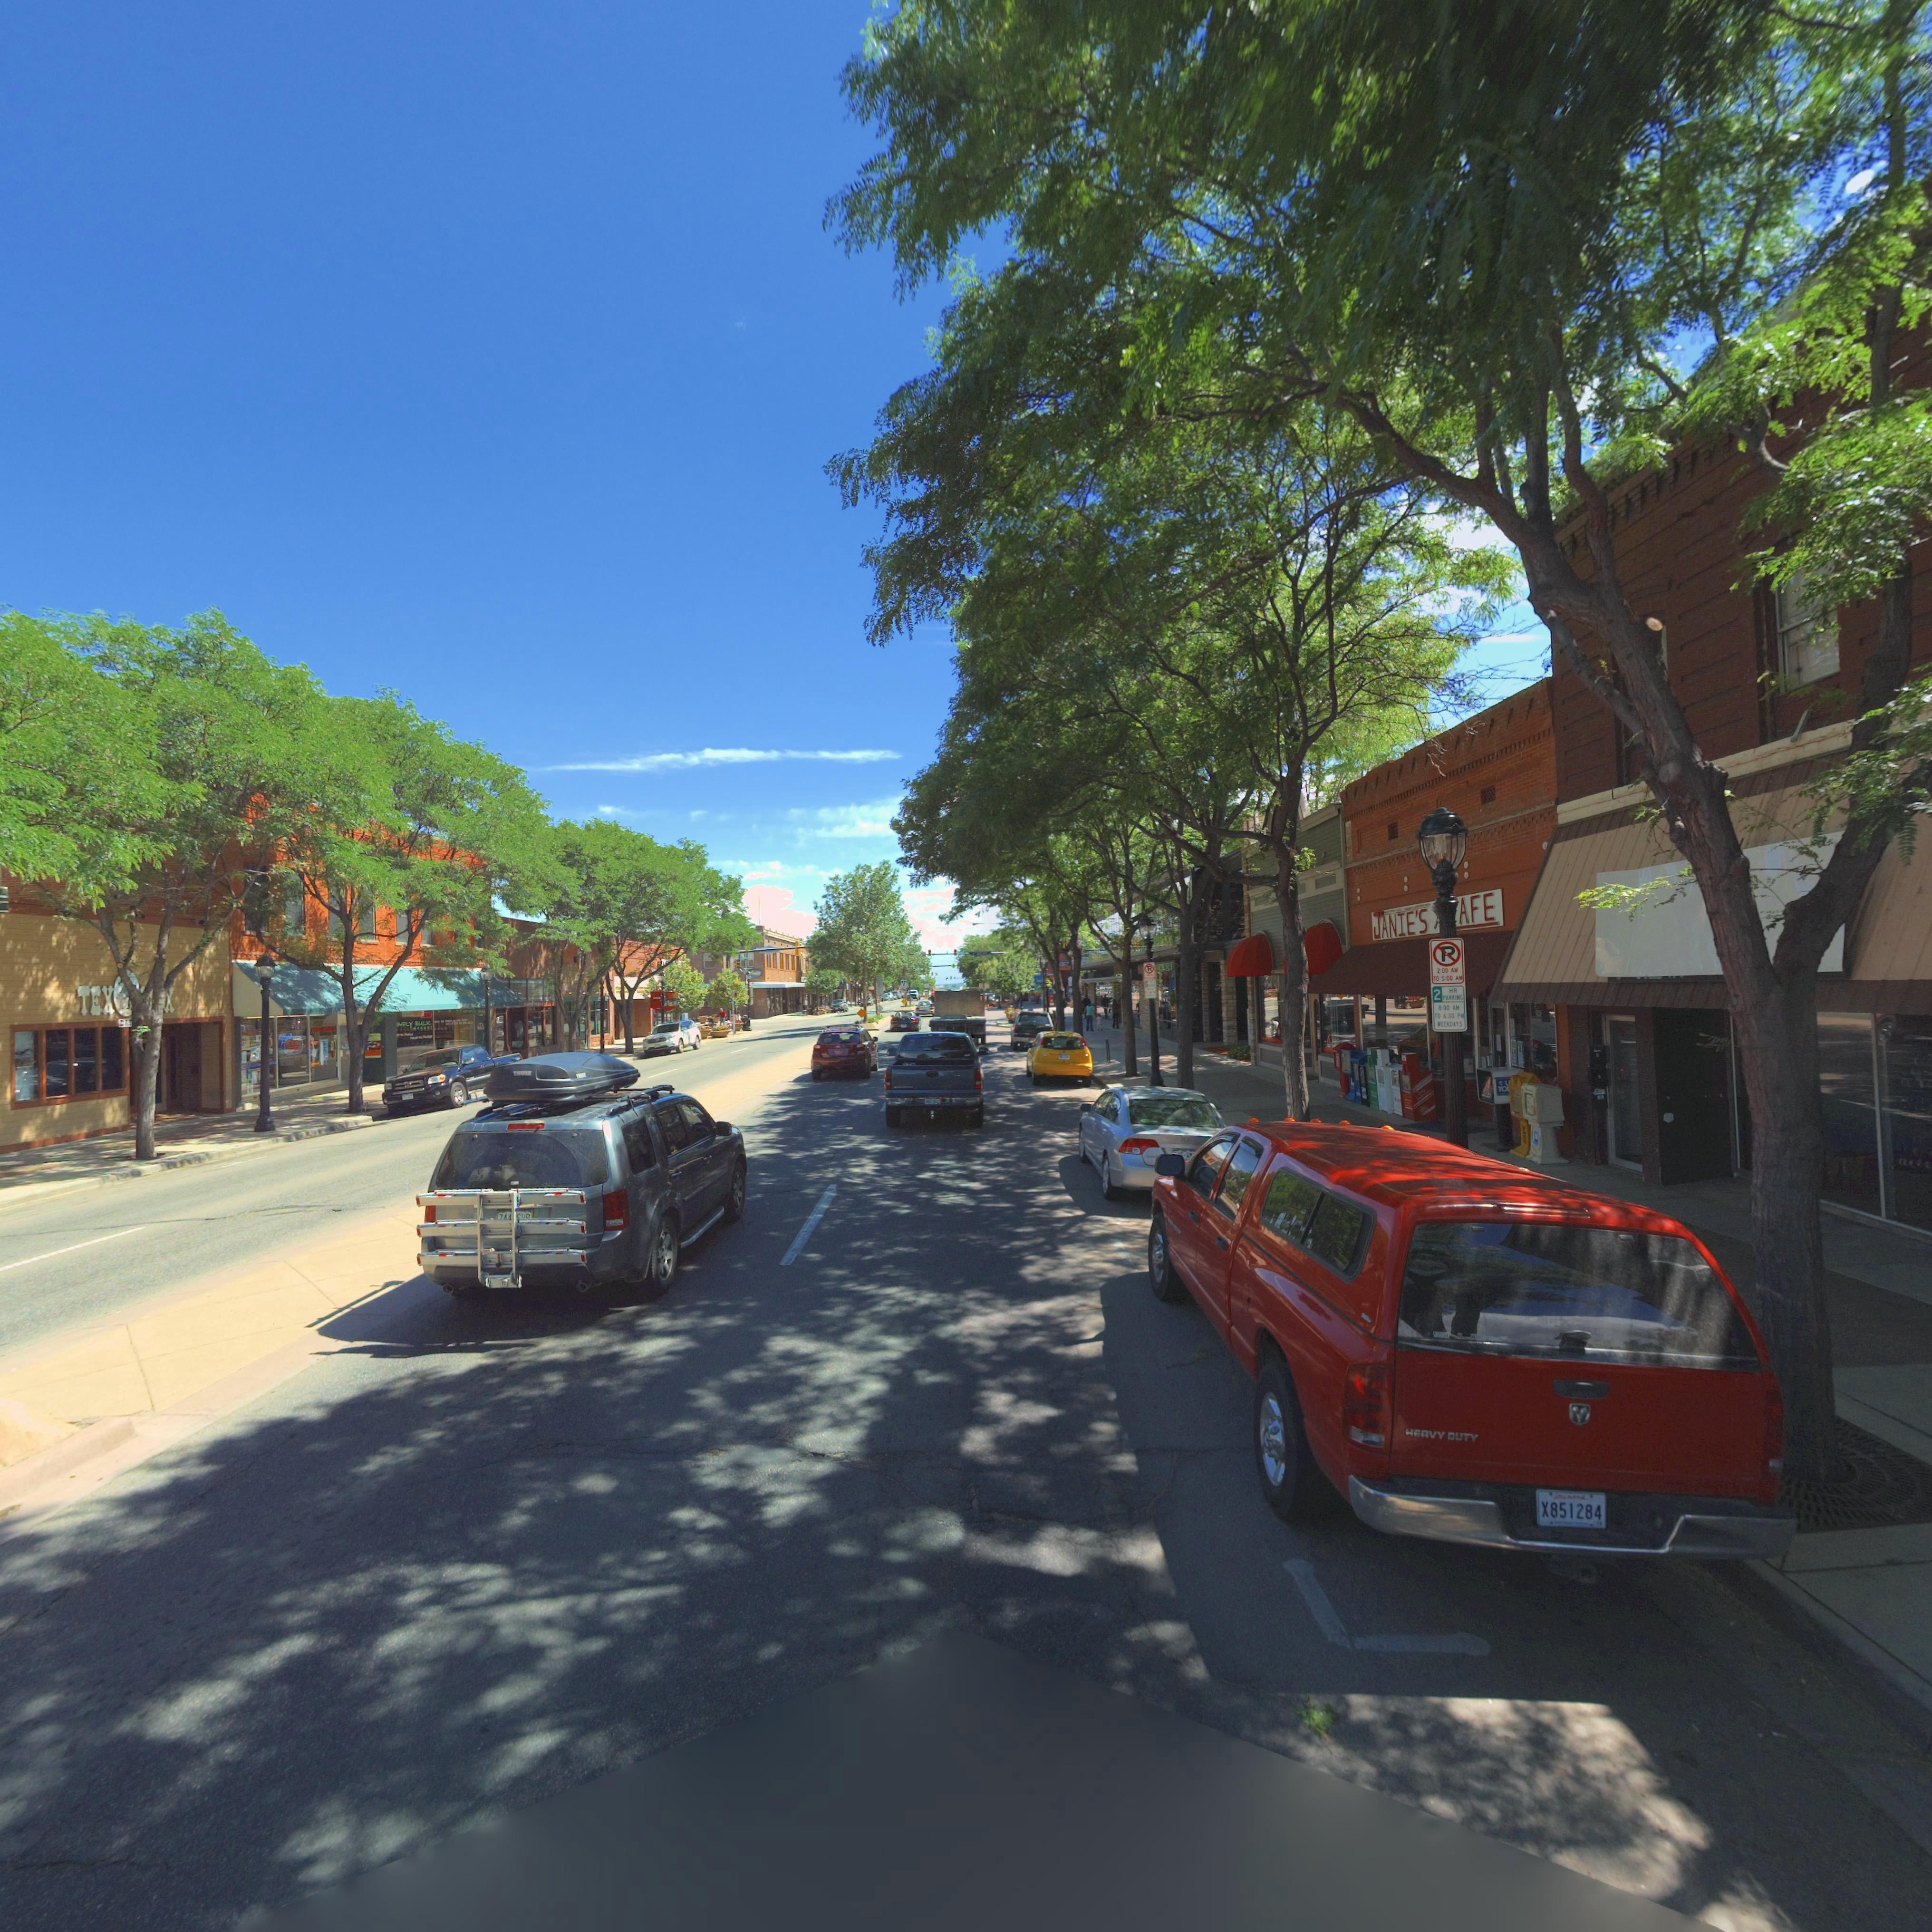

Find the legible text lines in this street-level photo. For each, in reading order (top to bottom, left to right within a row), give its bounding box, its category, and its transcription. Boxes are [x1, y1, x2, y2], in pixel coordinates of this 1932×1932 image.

[1372, 891, 1495, 940] BusinessName: JANIE'S *AFE
[77, 984, 116, 1015] BusinessName: TEX
[164, 985, 175, 1014] BusinessName: X
[396, 1020, 431, 1028] BusinessName: MPLY BULK